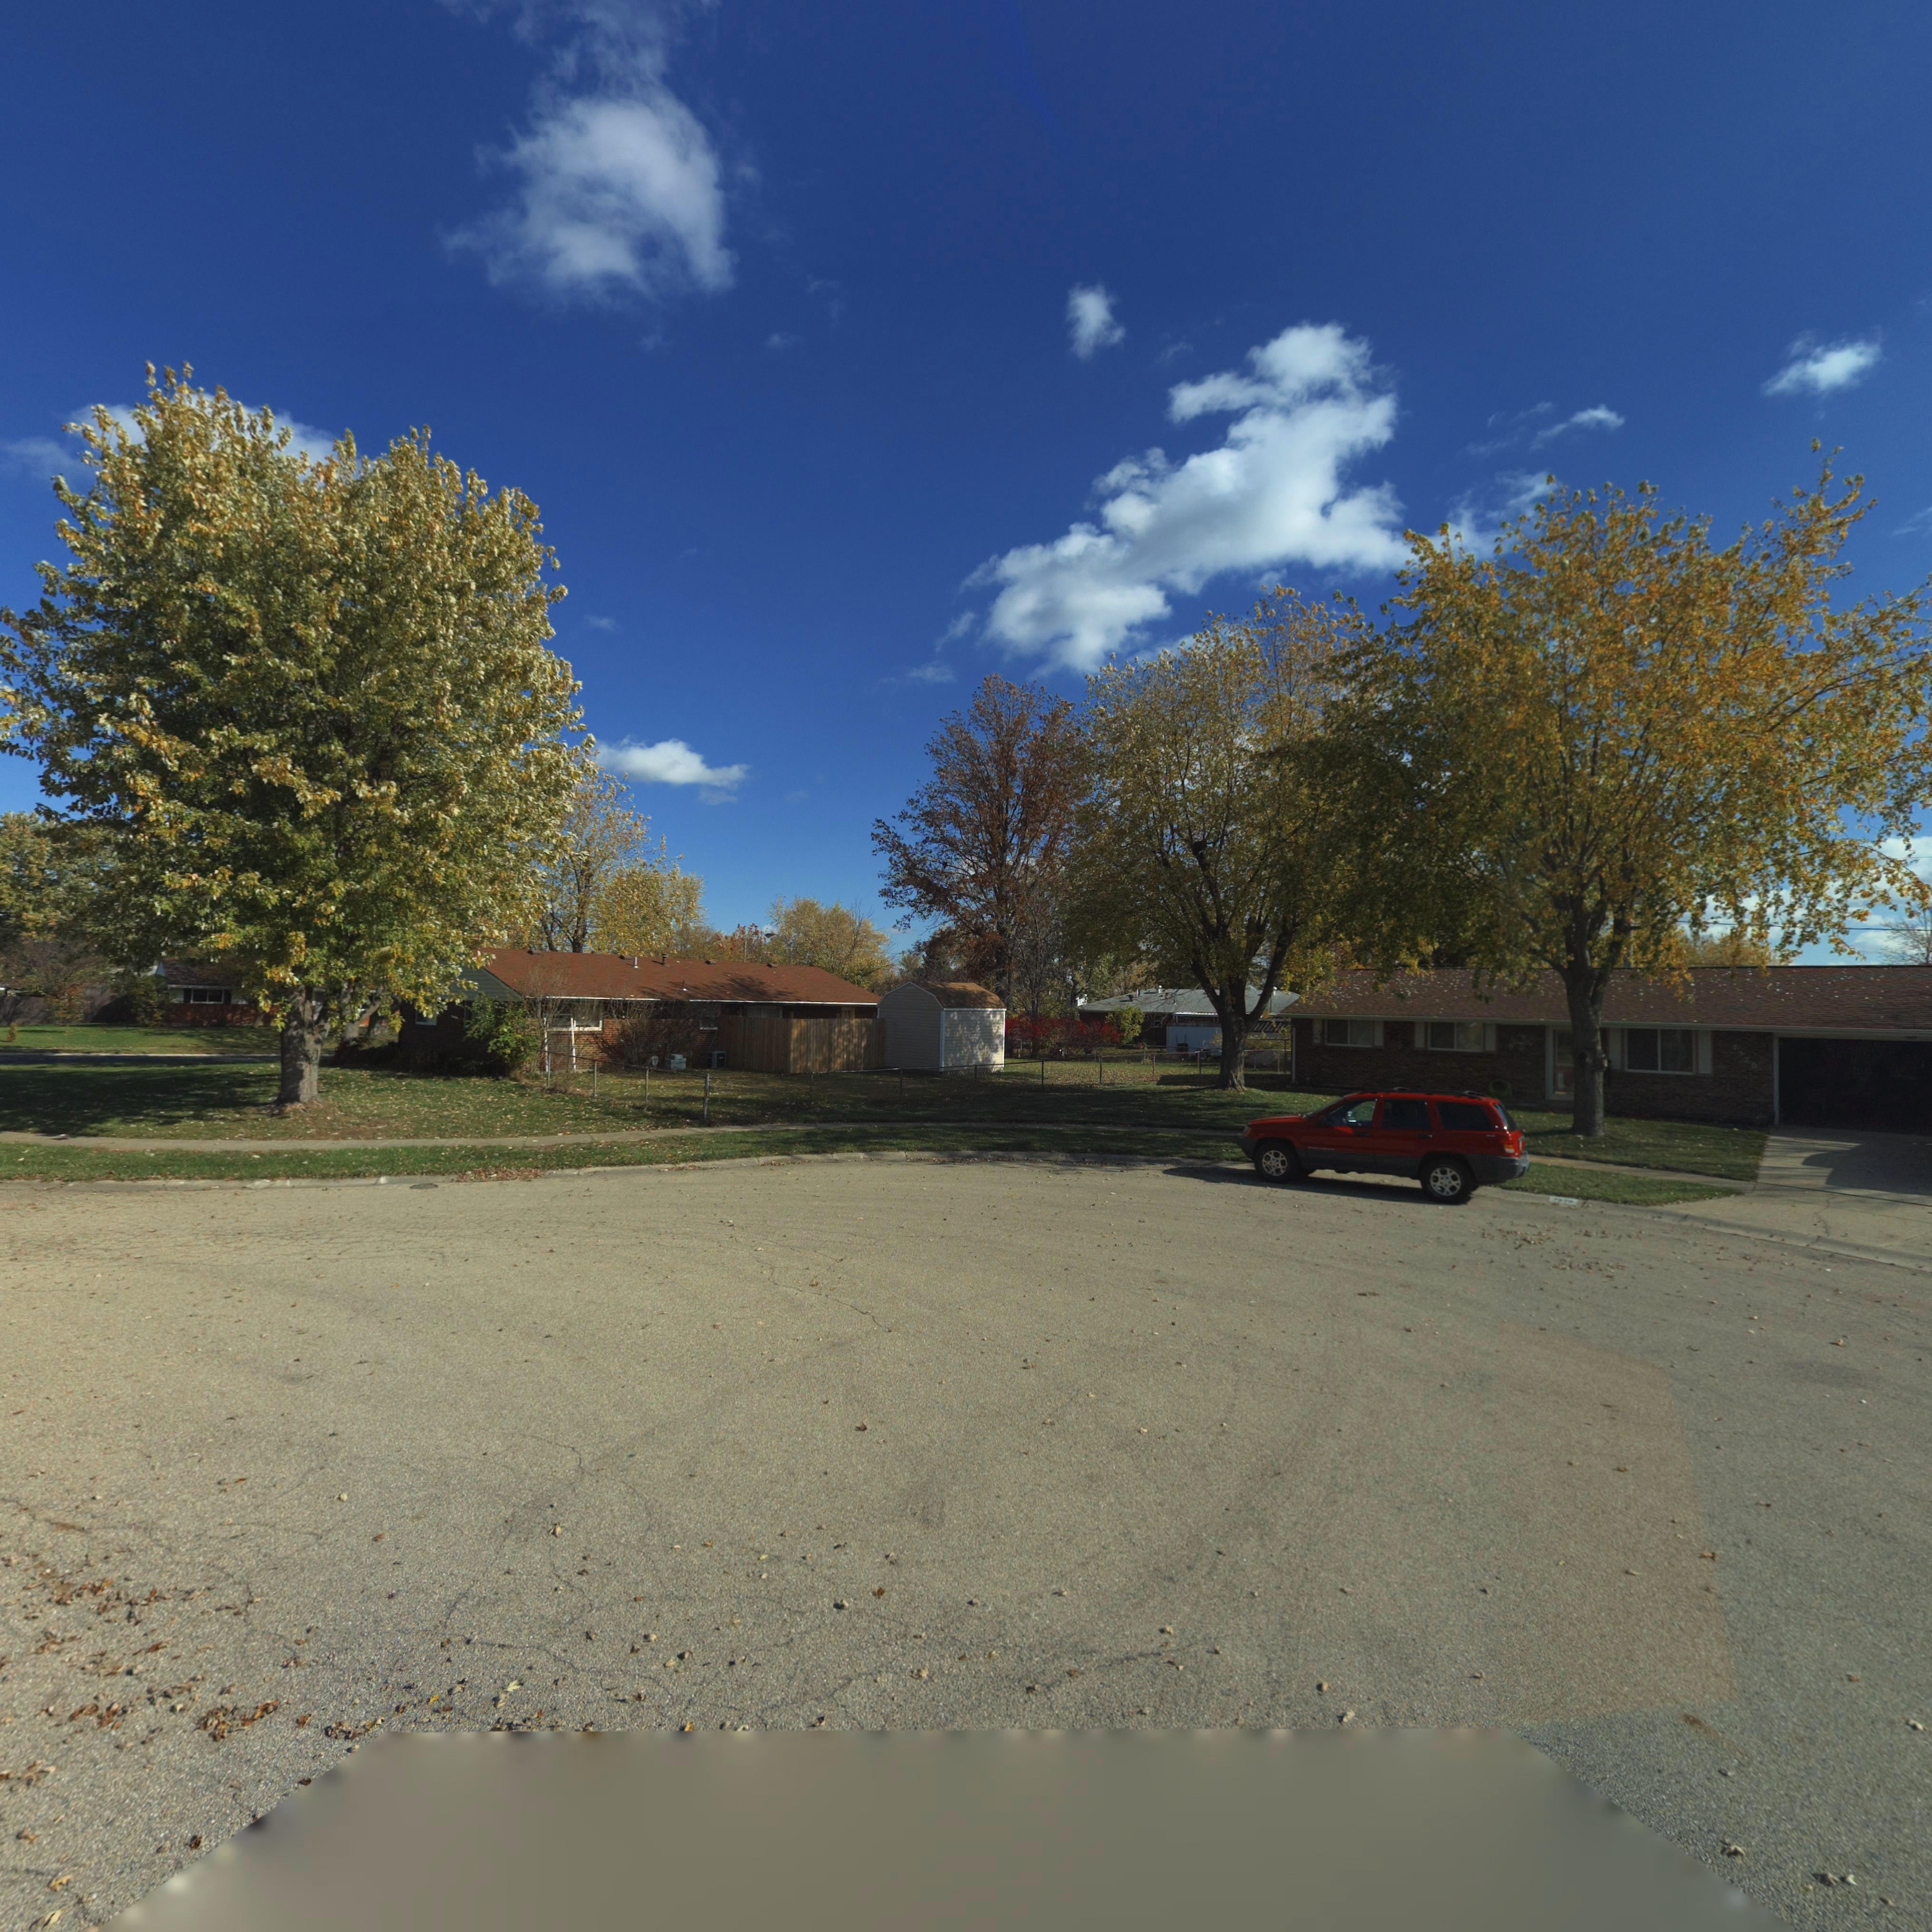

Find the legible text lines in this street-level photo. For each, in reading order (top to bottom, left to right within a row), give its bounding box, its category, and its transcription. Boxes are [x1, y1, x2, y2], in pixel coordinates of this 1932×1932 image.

[1730, 1043, 1759, 1071] StreetNumber: **20